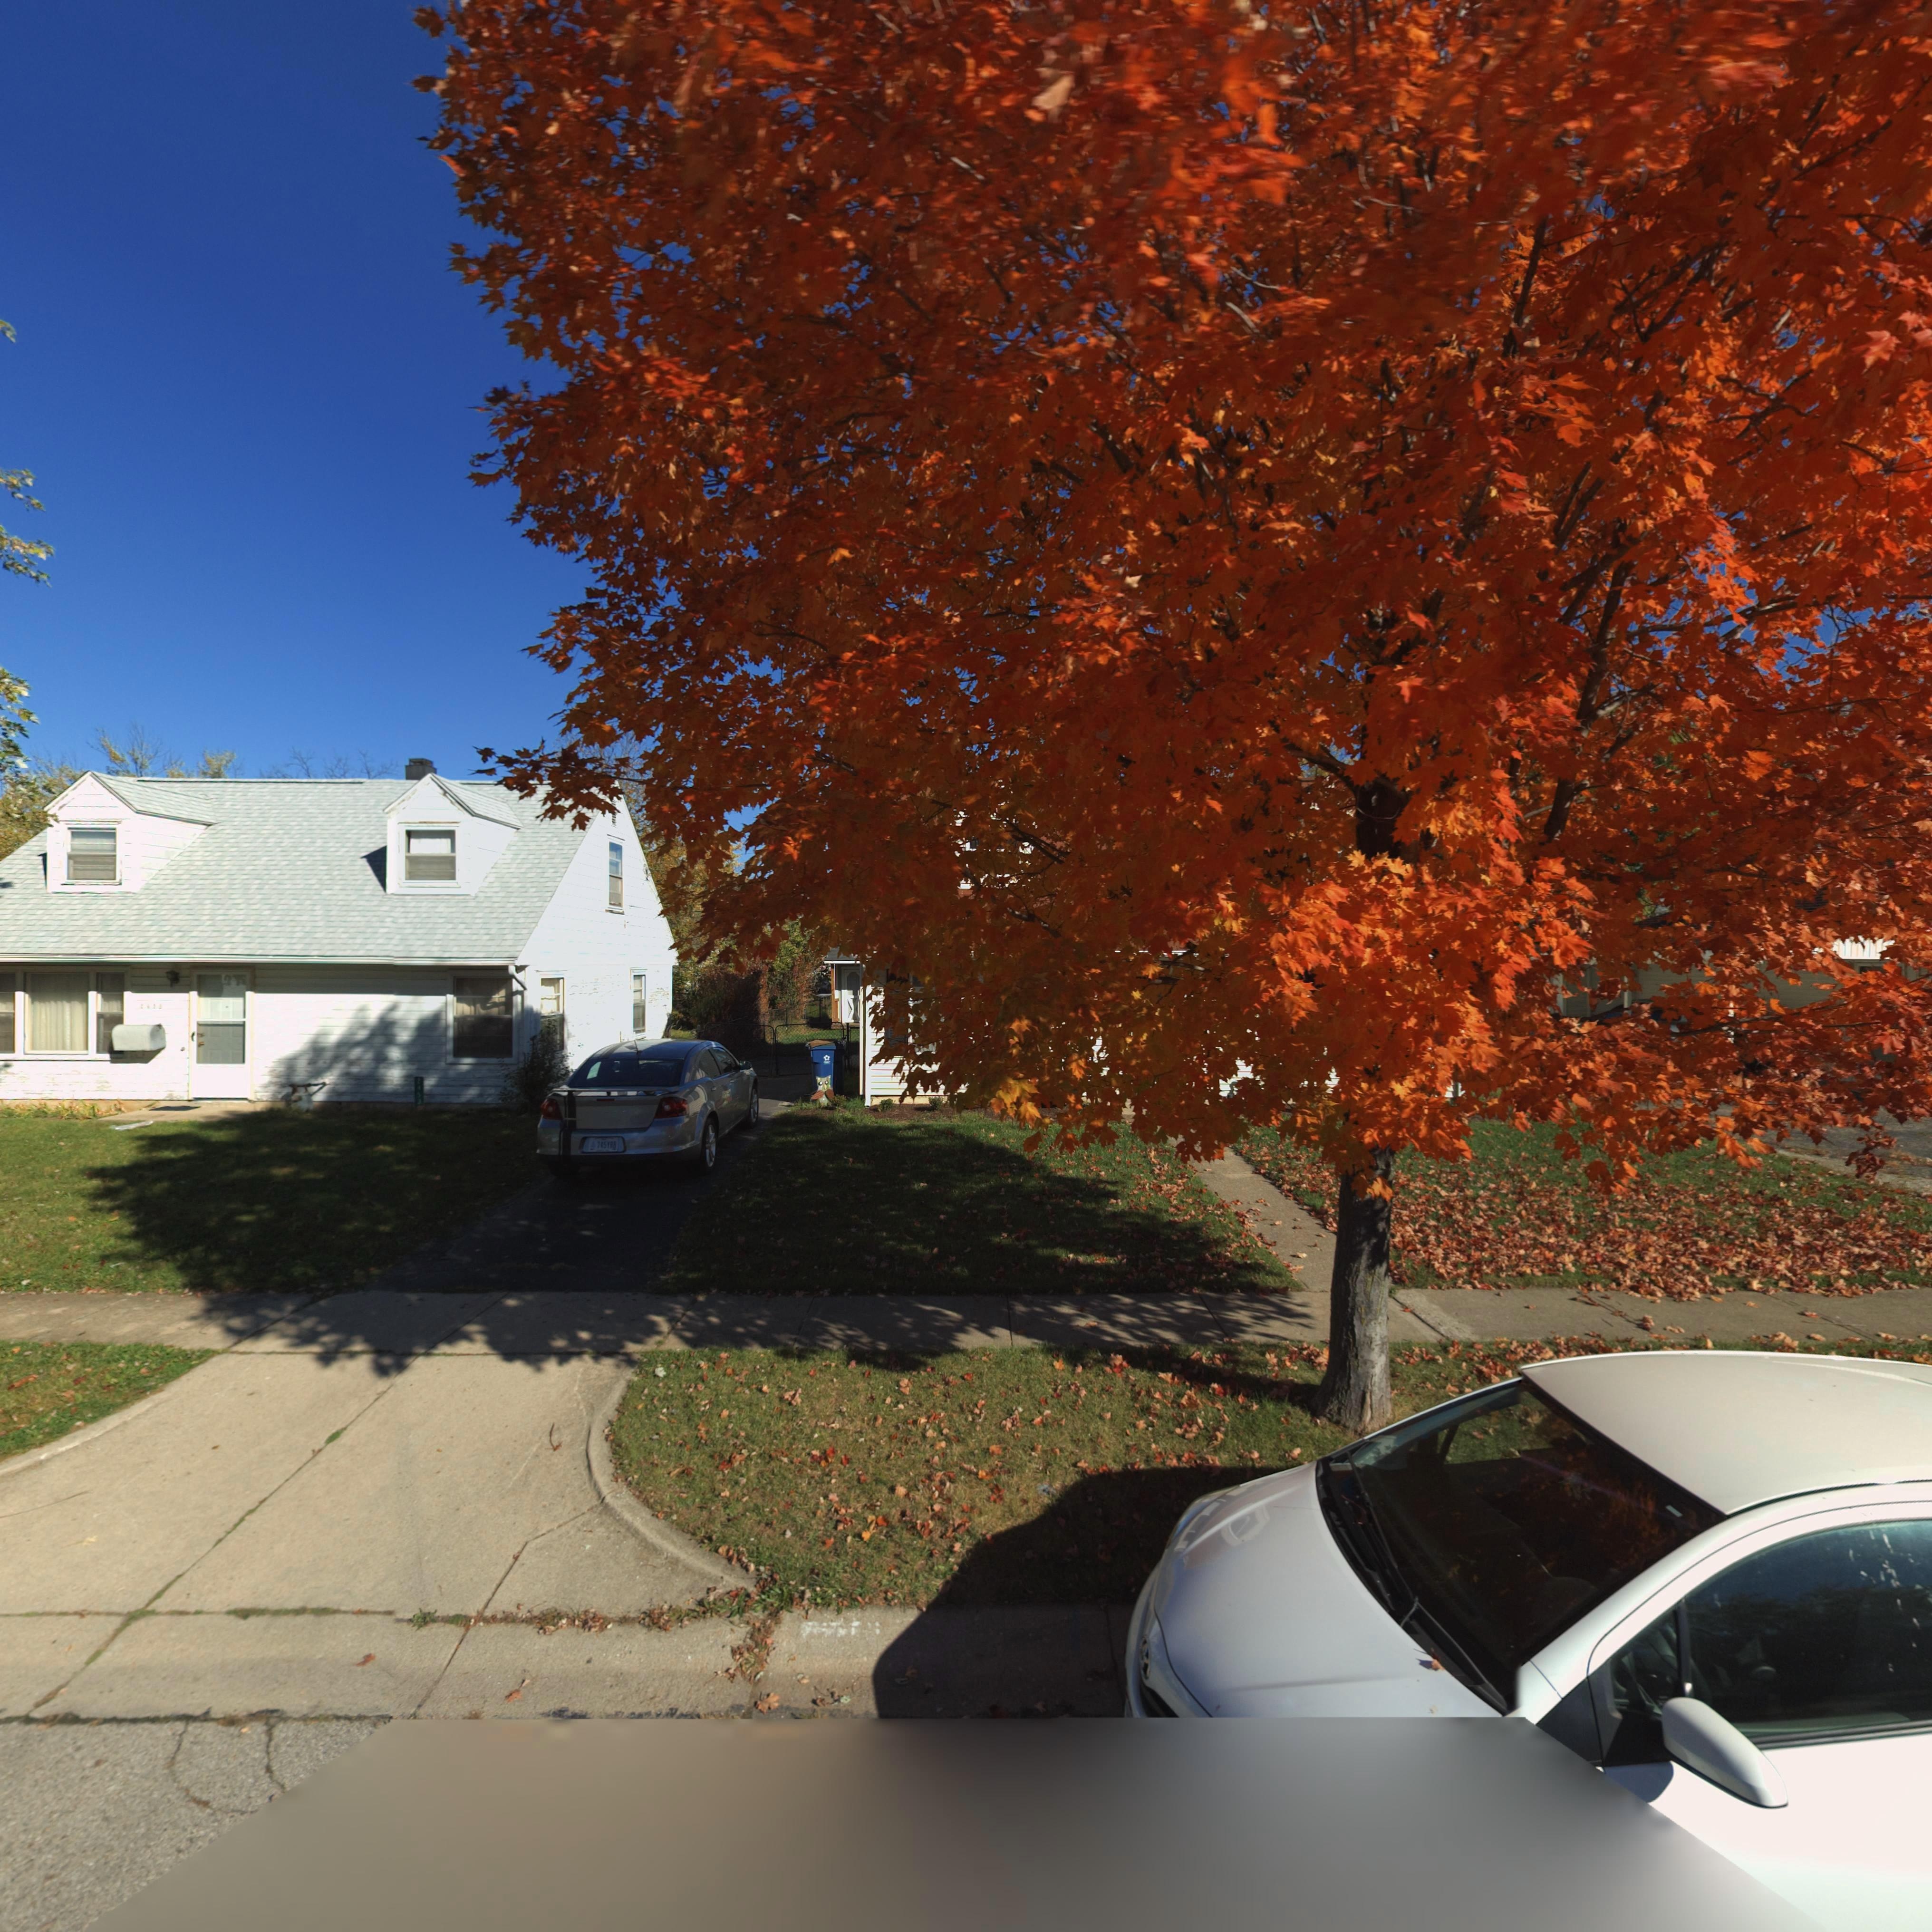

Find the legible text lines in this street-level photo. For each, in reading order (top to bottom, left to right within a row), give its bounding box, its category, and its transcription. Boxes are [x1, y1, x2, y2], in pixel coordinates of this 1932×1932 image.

[139, 1003, 163, 1010] StreetNumber: 24**